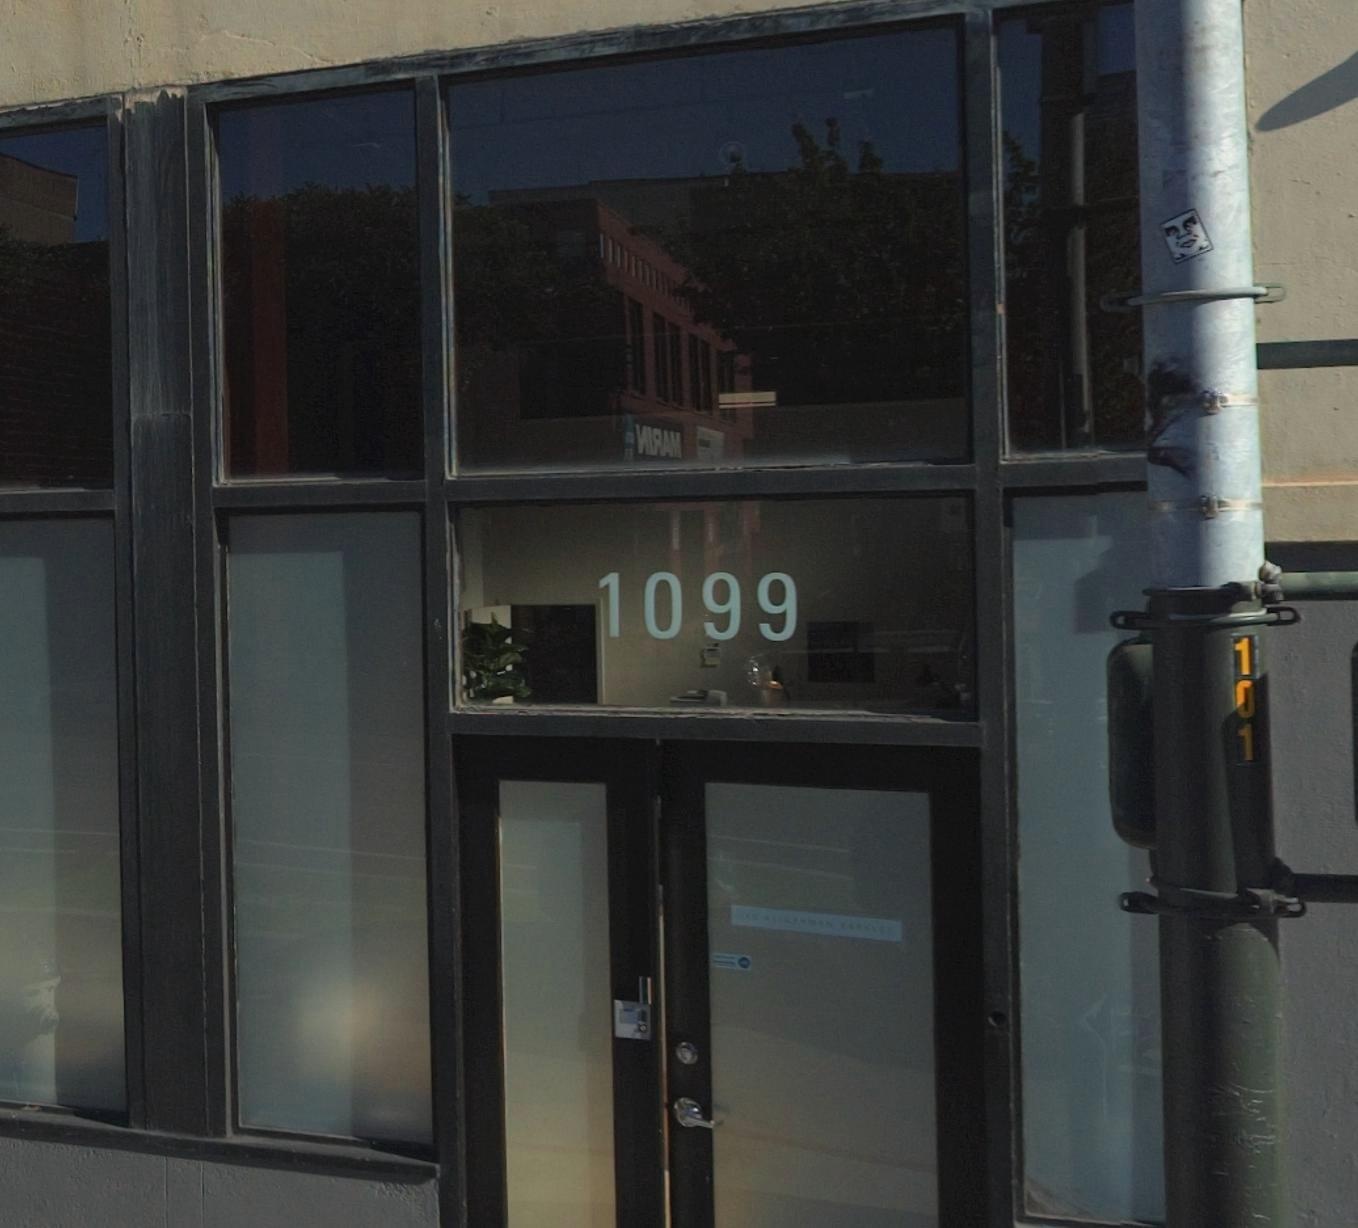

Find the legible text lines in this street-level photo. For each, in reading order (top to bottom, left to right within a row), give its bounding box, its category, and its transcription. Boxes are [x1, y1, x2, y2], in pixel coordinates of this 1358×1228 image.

[633, 422, 683, 461] None: *I*AM
[596, 570, 801, 643] StreetNumber: 1099
[1232, 633, 1258, 766] None: 101